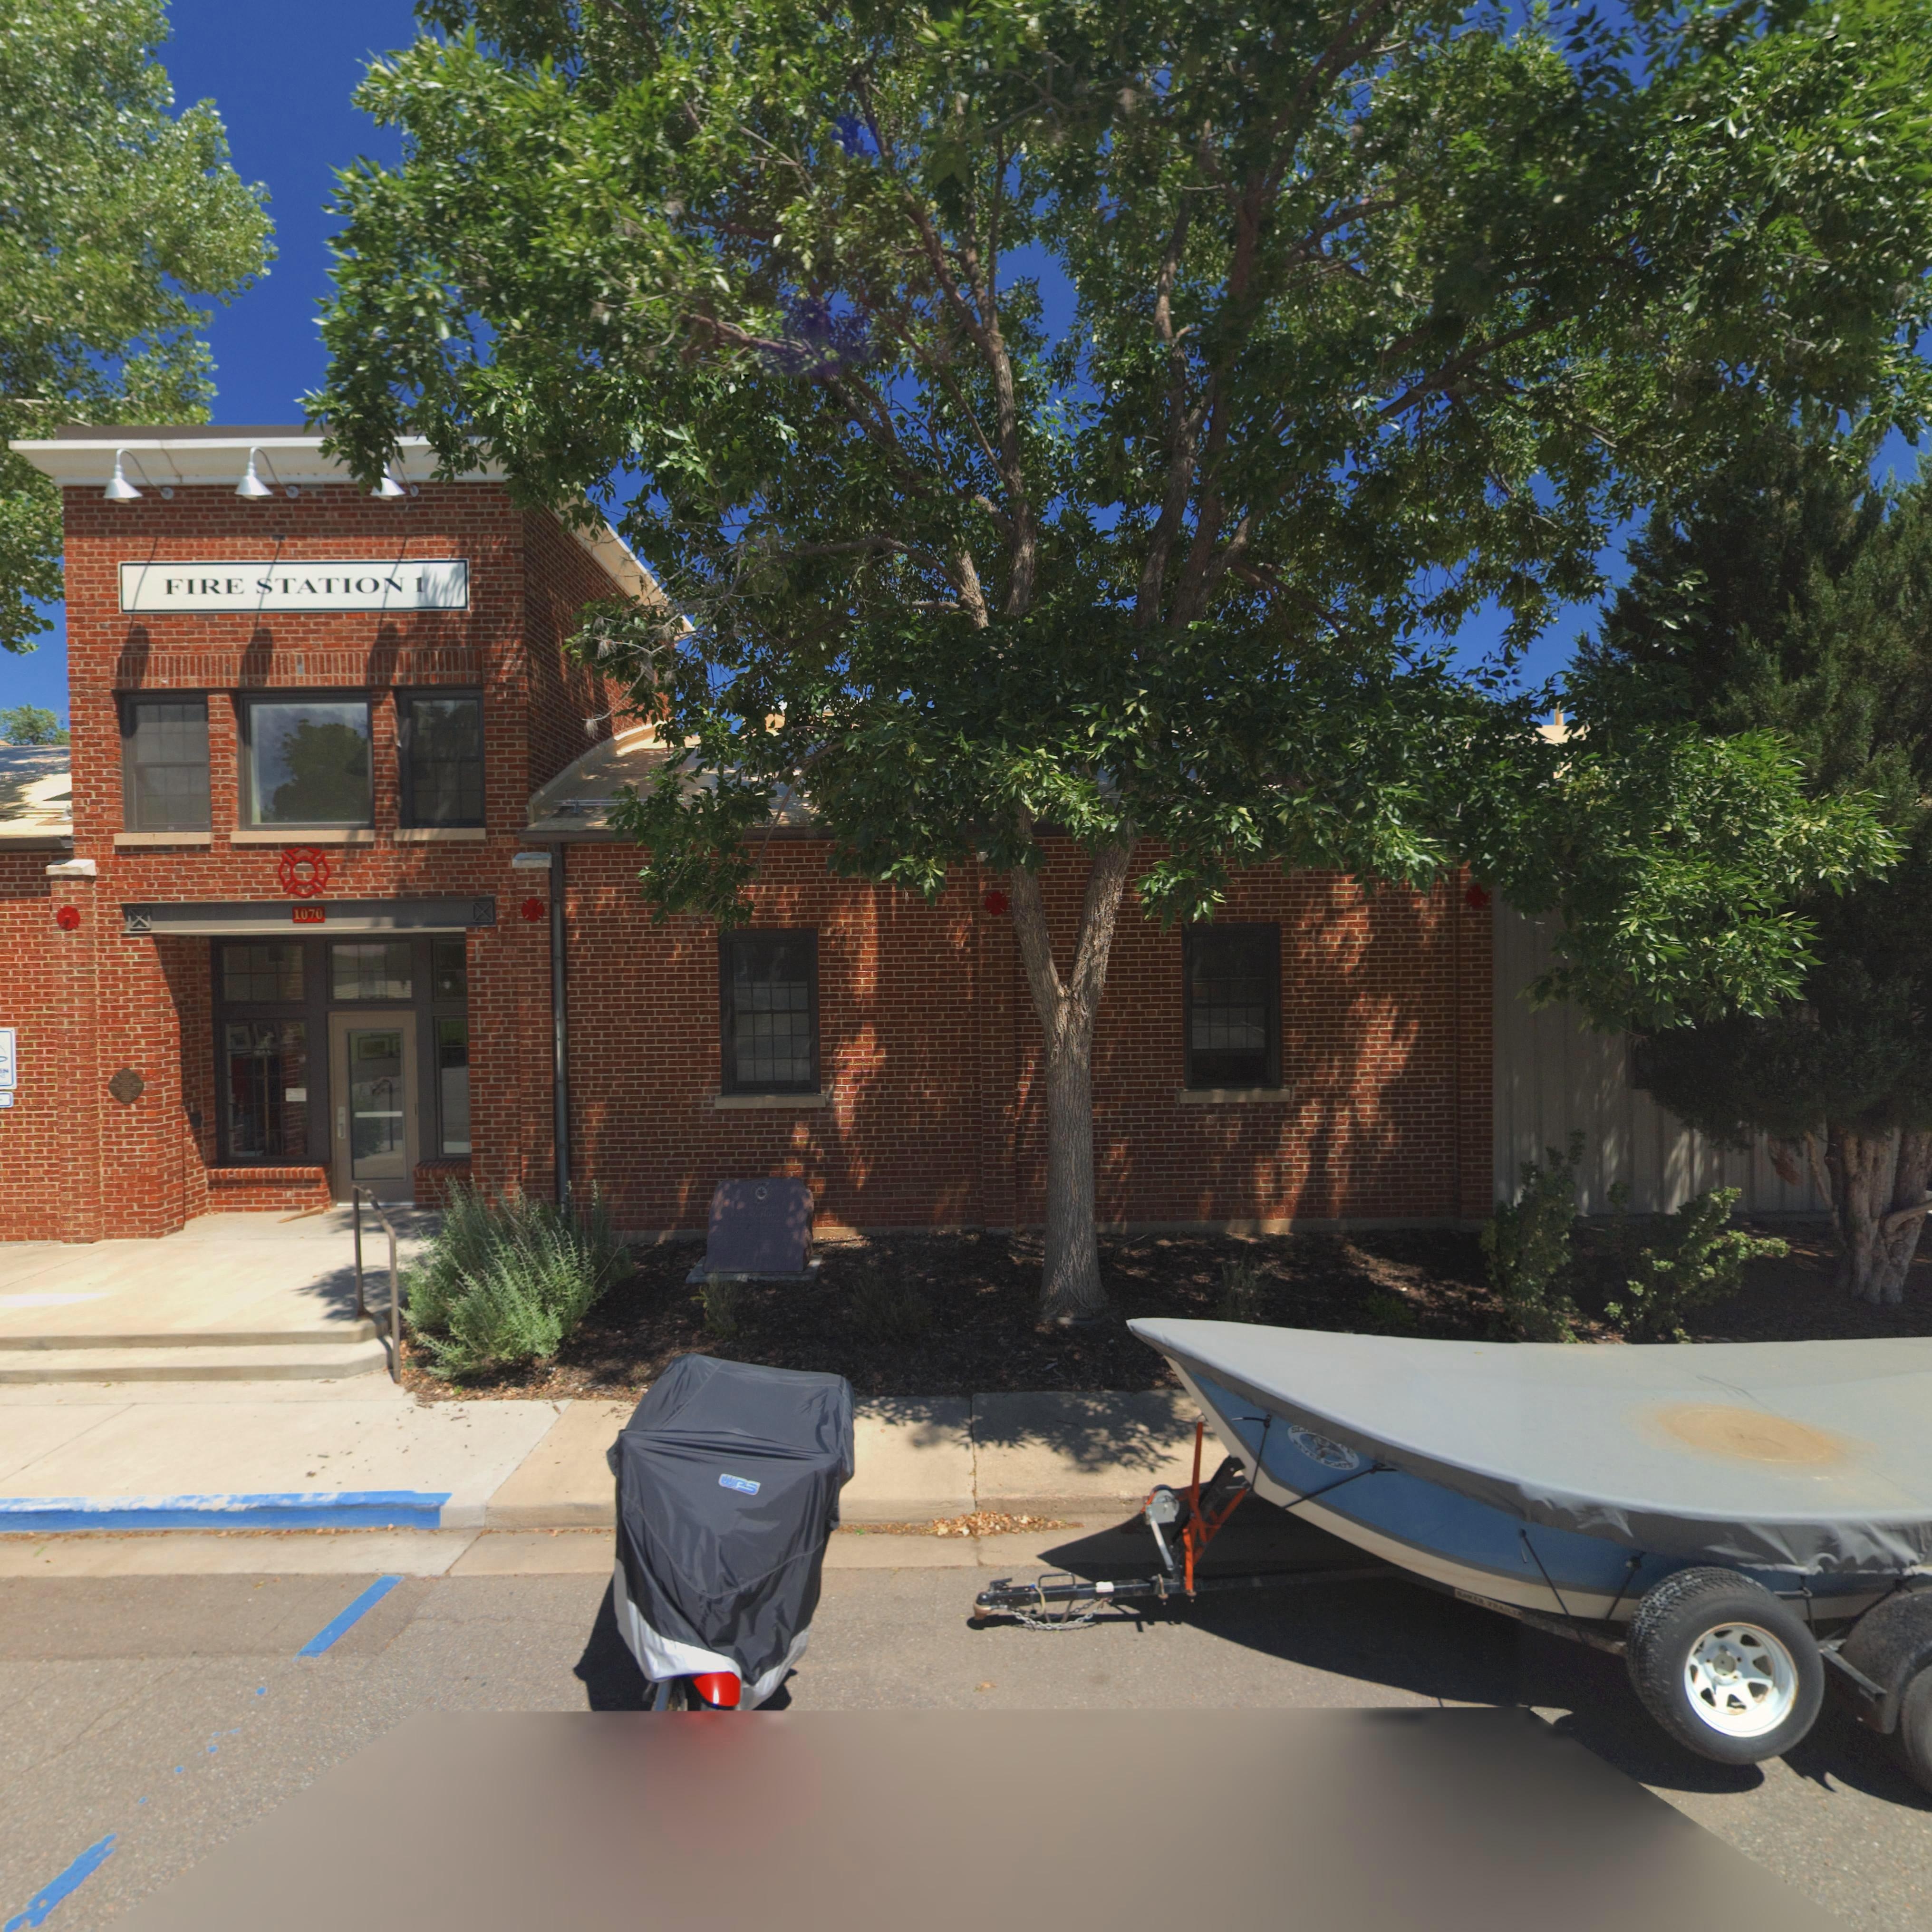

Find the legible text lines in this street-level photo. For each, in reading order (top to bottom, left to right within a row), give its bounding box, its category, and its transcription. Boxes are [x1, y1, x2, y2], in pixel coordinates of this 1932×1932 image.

[161, 574, 428, 596] BusinessName: FIRE STATION 1
[294, 908, 323, 919] StreetNumber: 1070
[2, 1068, 9, 1073] BusinessName: N